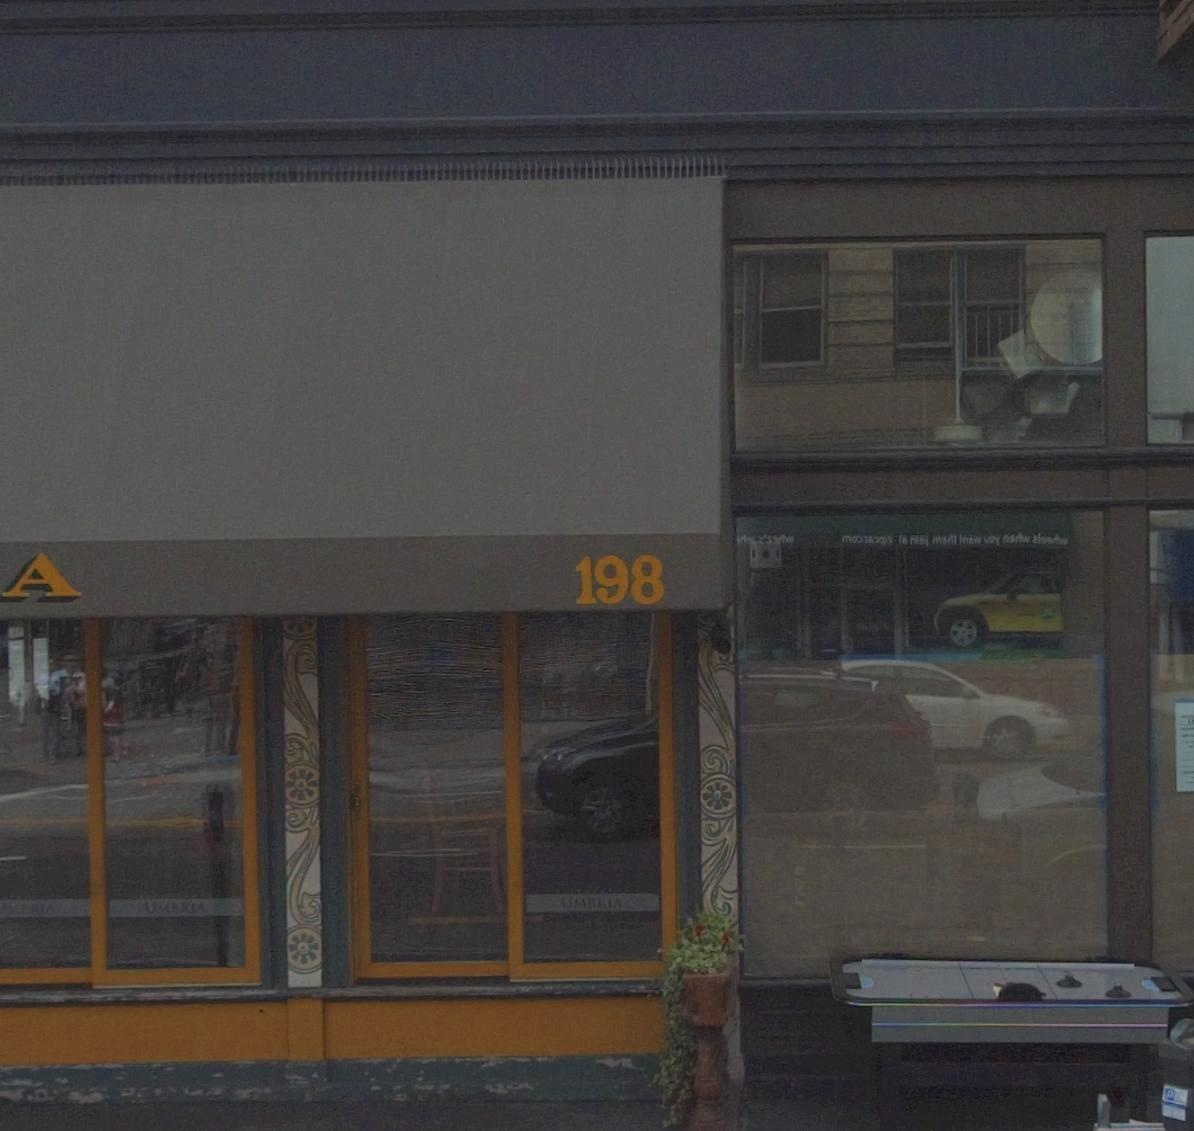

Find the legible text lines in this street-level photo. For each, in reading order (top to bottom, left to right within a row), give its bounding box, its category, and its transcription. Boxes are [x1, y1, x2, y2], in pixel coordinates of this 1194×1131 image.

[4, 546, 86, 601] BusinessName: A
[571, 551, 667, 609] StreetNumber: 198
[139, 898, 213, 917] BusinessName: UMB*IA
[554, 893, 626, 910] BusinessName: UMB**A